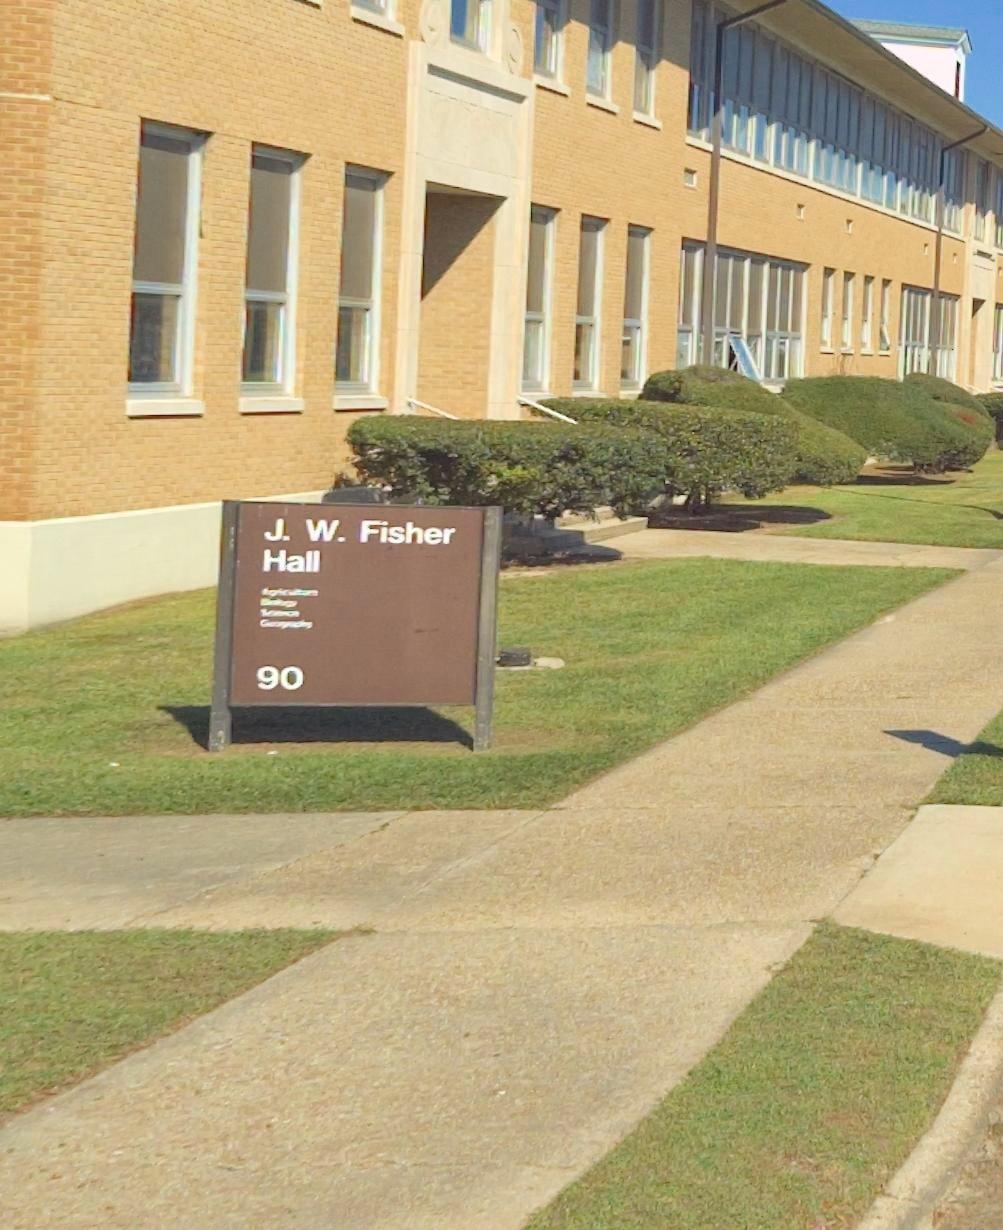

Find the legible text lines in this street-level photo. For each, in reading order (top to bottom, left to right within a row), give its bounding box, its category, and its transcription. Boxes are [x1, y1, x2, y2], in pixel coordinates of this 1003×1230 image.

[263, 517, 458, 546] BusinessName: J. W. Fisher
[262, 548, 322, 575] BusinessName: Hall
[256, 664, 306, 692] StreetNumber: 90